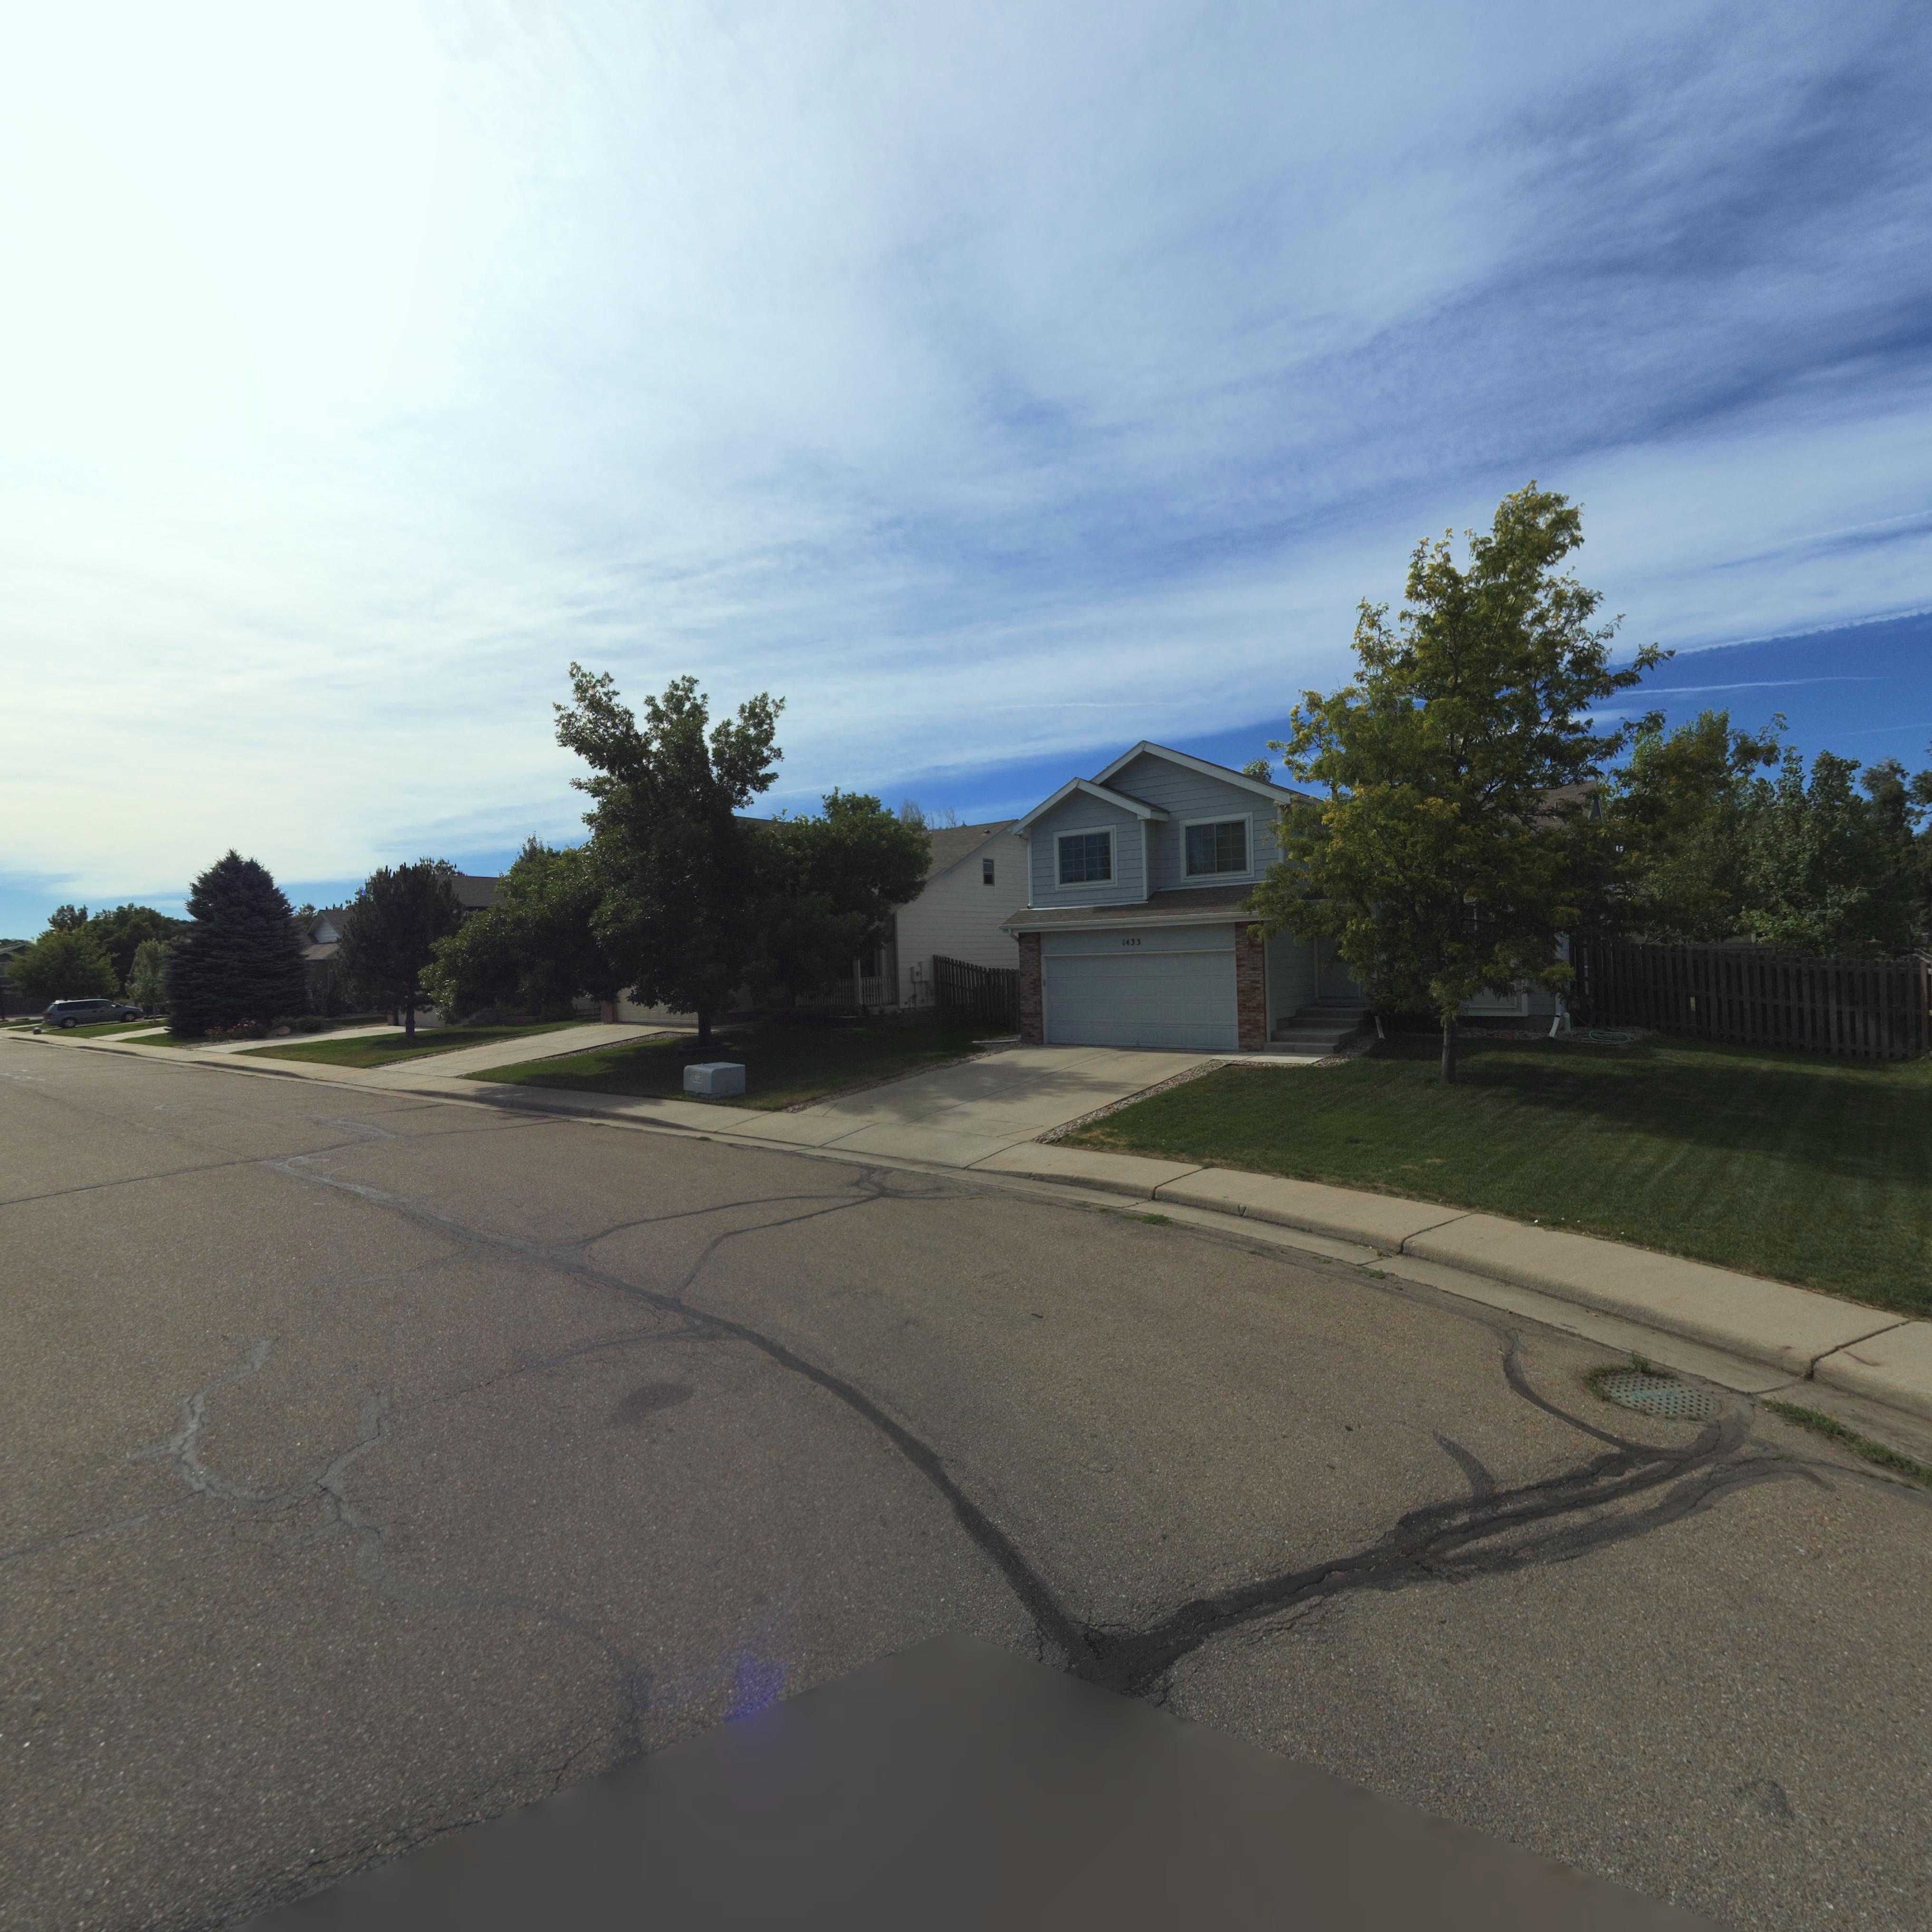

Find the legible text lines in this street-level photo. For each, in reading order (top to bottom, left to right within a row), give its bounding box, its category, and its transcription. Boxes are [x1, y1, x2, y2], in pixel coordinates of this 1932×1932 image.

[1122, 938, 1140, 946] StreetNumber: 1433